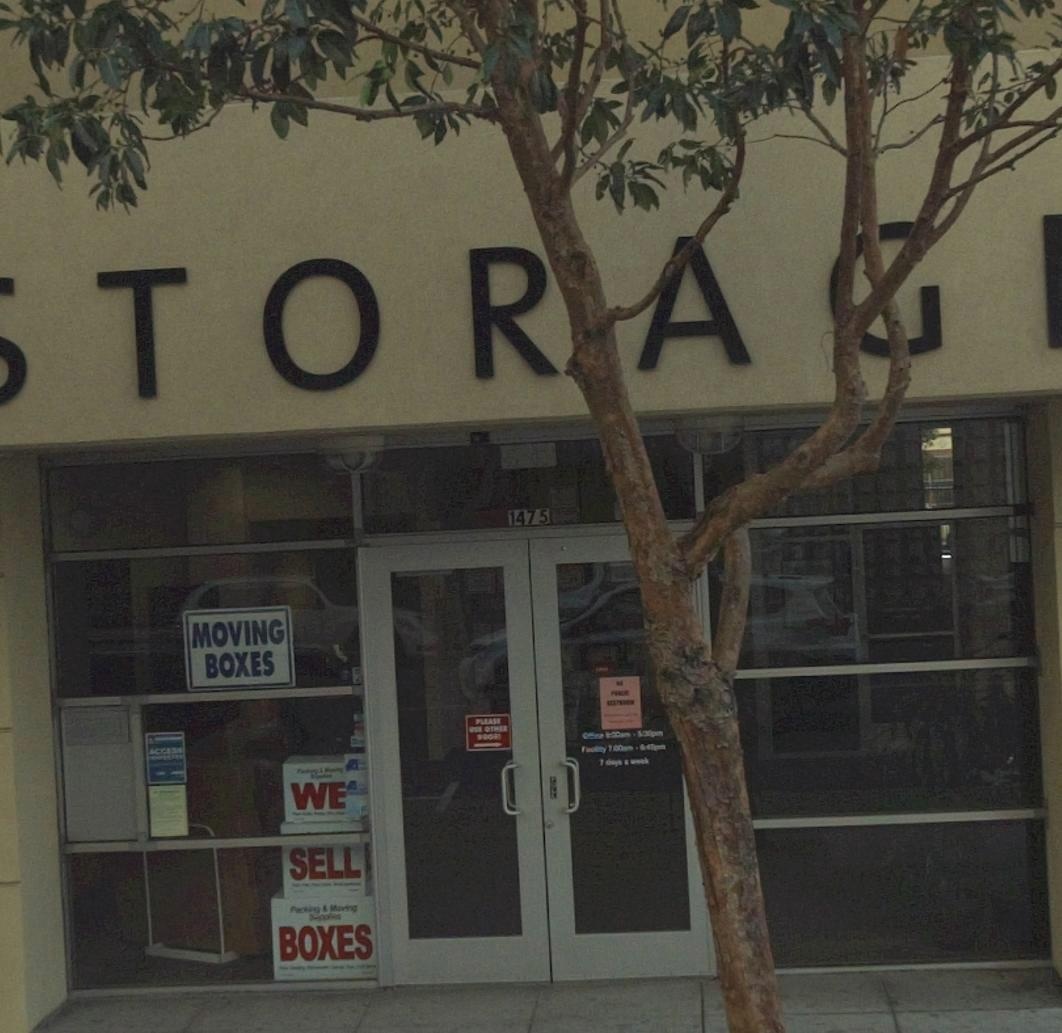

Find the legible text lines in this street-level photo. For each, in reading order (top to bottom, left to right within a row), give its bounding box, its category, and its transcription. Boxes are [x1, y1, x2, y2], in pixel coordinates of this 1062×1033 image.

[86, 227, 764, 405] BusinessName: TORA
[506, 505, 553, 528] StreetNumber: 1475
[188, 613, 289, 651] None: MOVING
[200, 645, 279, 683] None: BOXES
[467, 725, 477, 735] None: O
[474, 715, 499, 727] None: PLEAS
[483, 724, 491, 734] None: O
[602, 728, 666, 741] None: 1:*0am * 5:*0pm
[147, 746, 180, 756] None: ACCES
[597, 755, 652, 768] None: 7 days a week
[605, 741, 669, 754] None: 7:00am * *:**pm
[287, 777, 349, 817] None: WE
[286, 842, 368, 883] None: SELL
[276, 920, 379, 966] None: BOXES